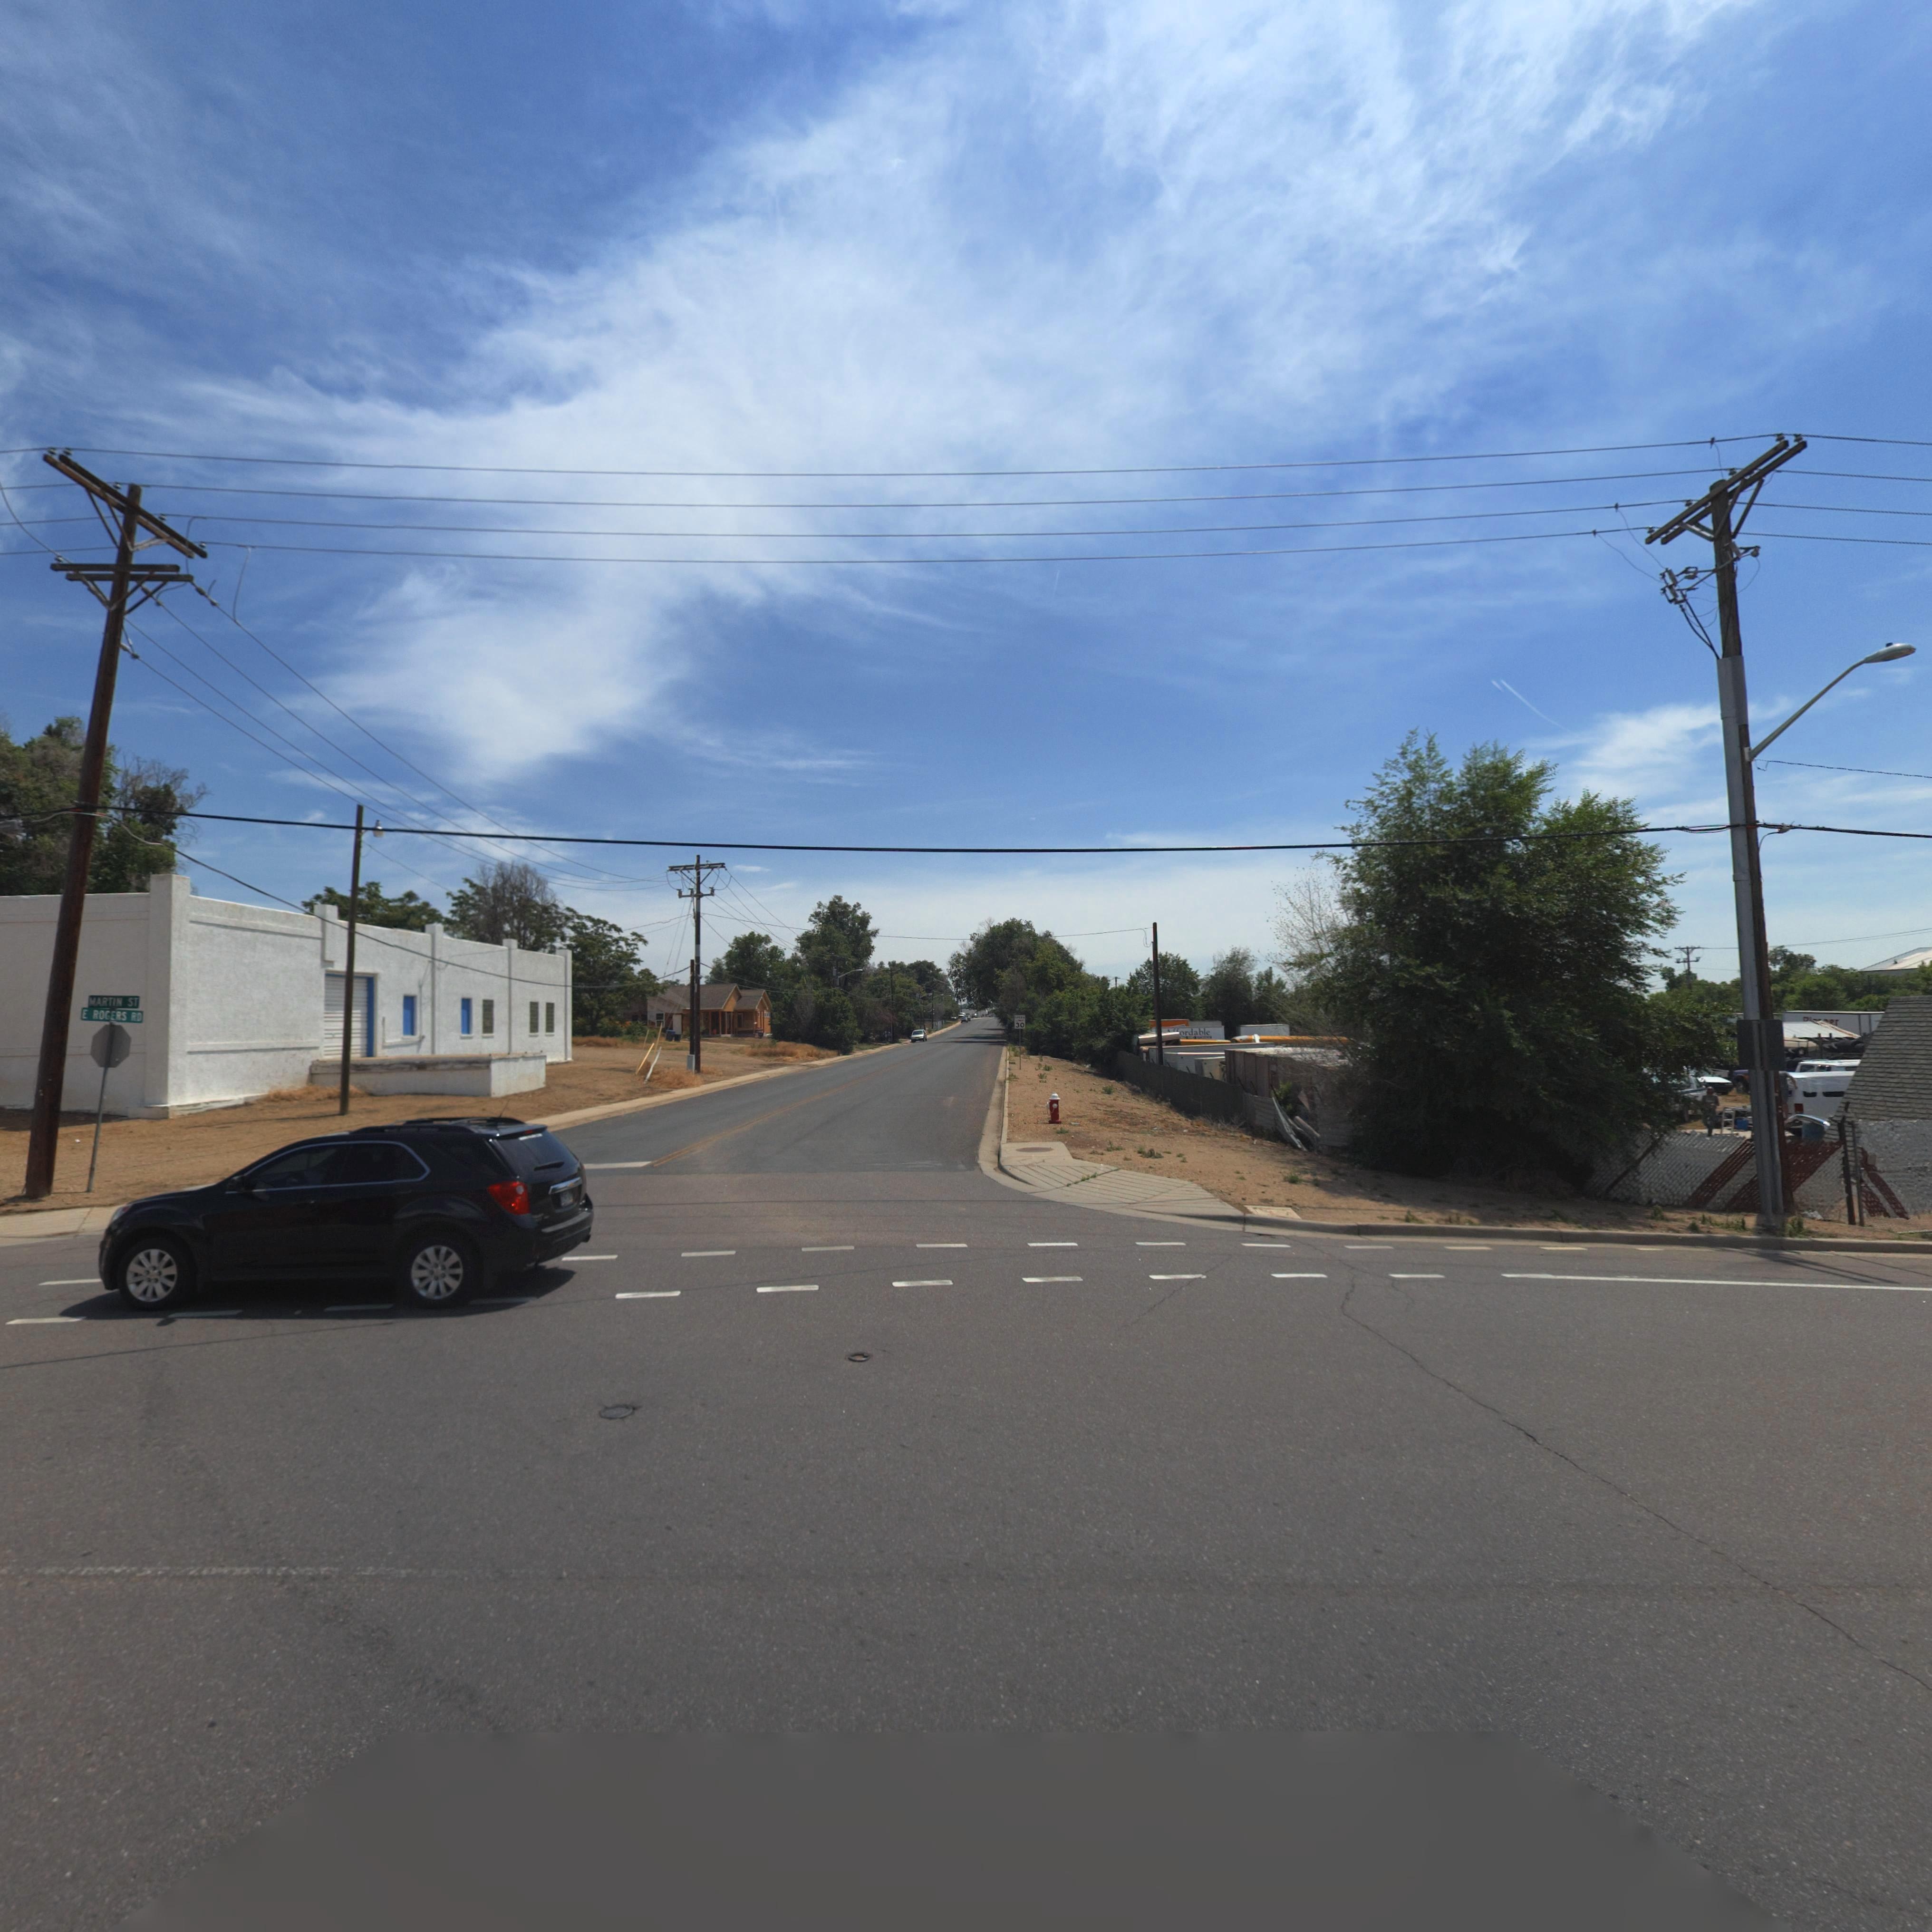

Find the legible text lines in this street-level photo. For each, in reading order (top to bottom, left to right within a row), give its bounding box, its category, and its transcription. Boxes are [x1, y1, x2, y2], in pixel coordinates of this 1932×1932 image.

[88, 996, 139, 1007] StreetName: MARTIN ST
[81, 1008, 142, 1022] StreetName: E ROGERS RD